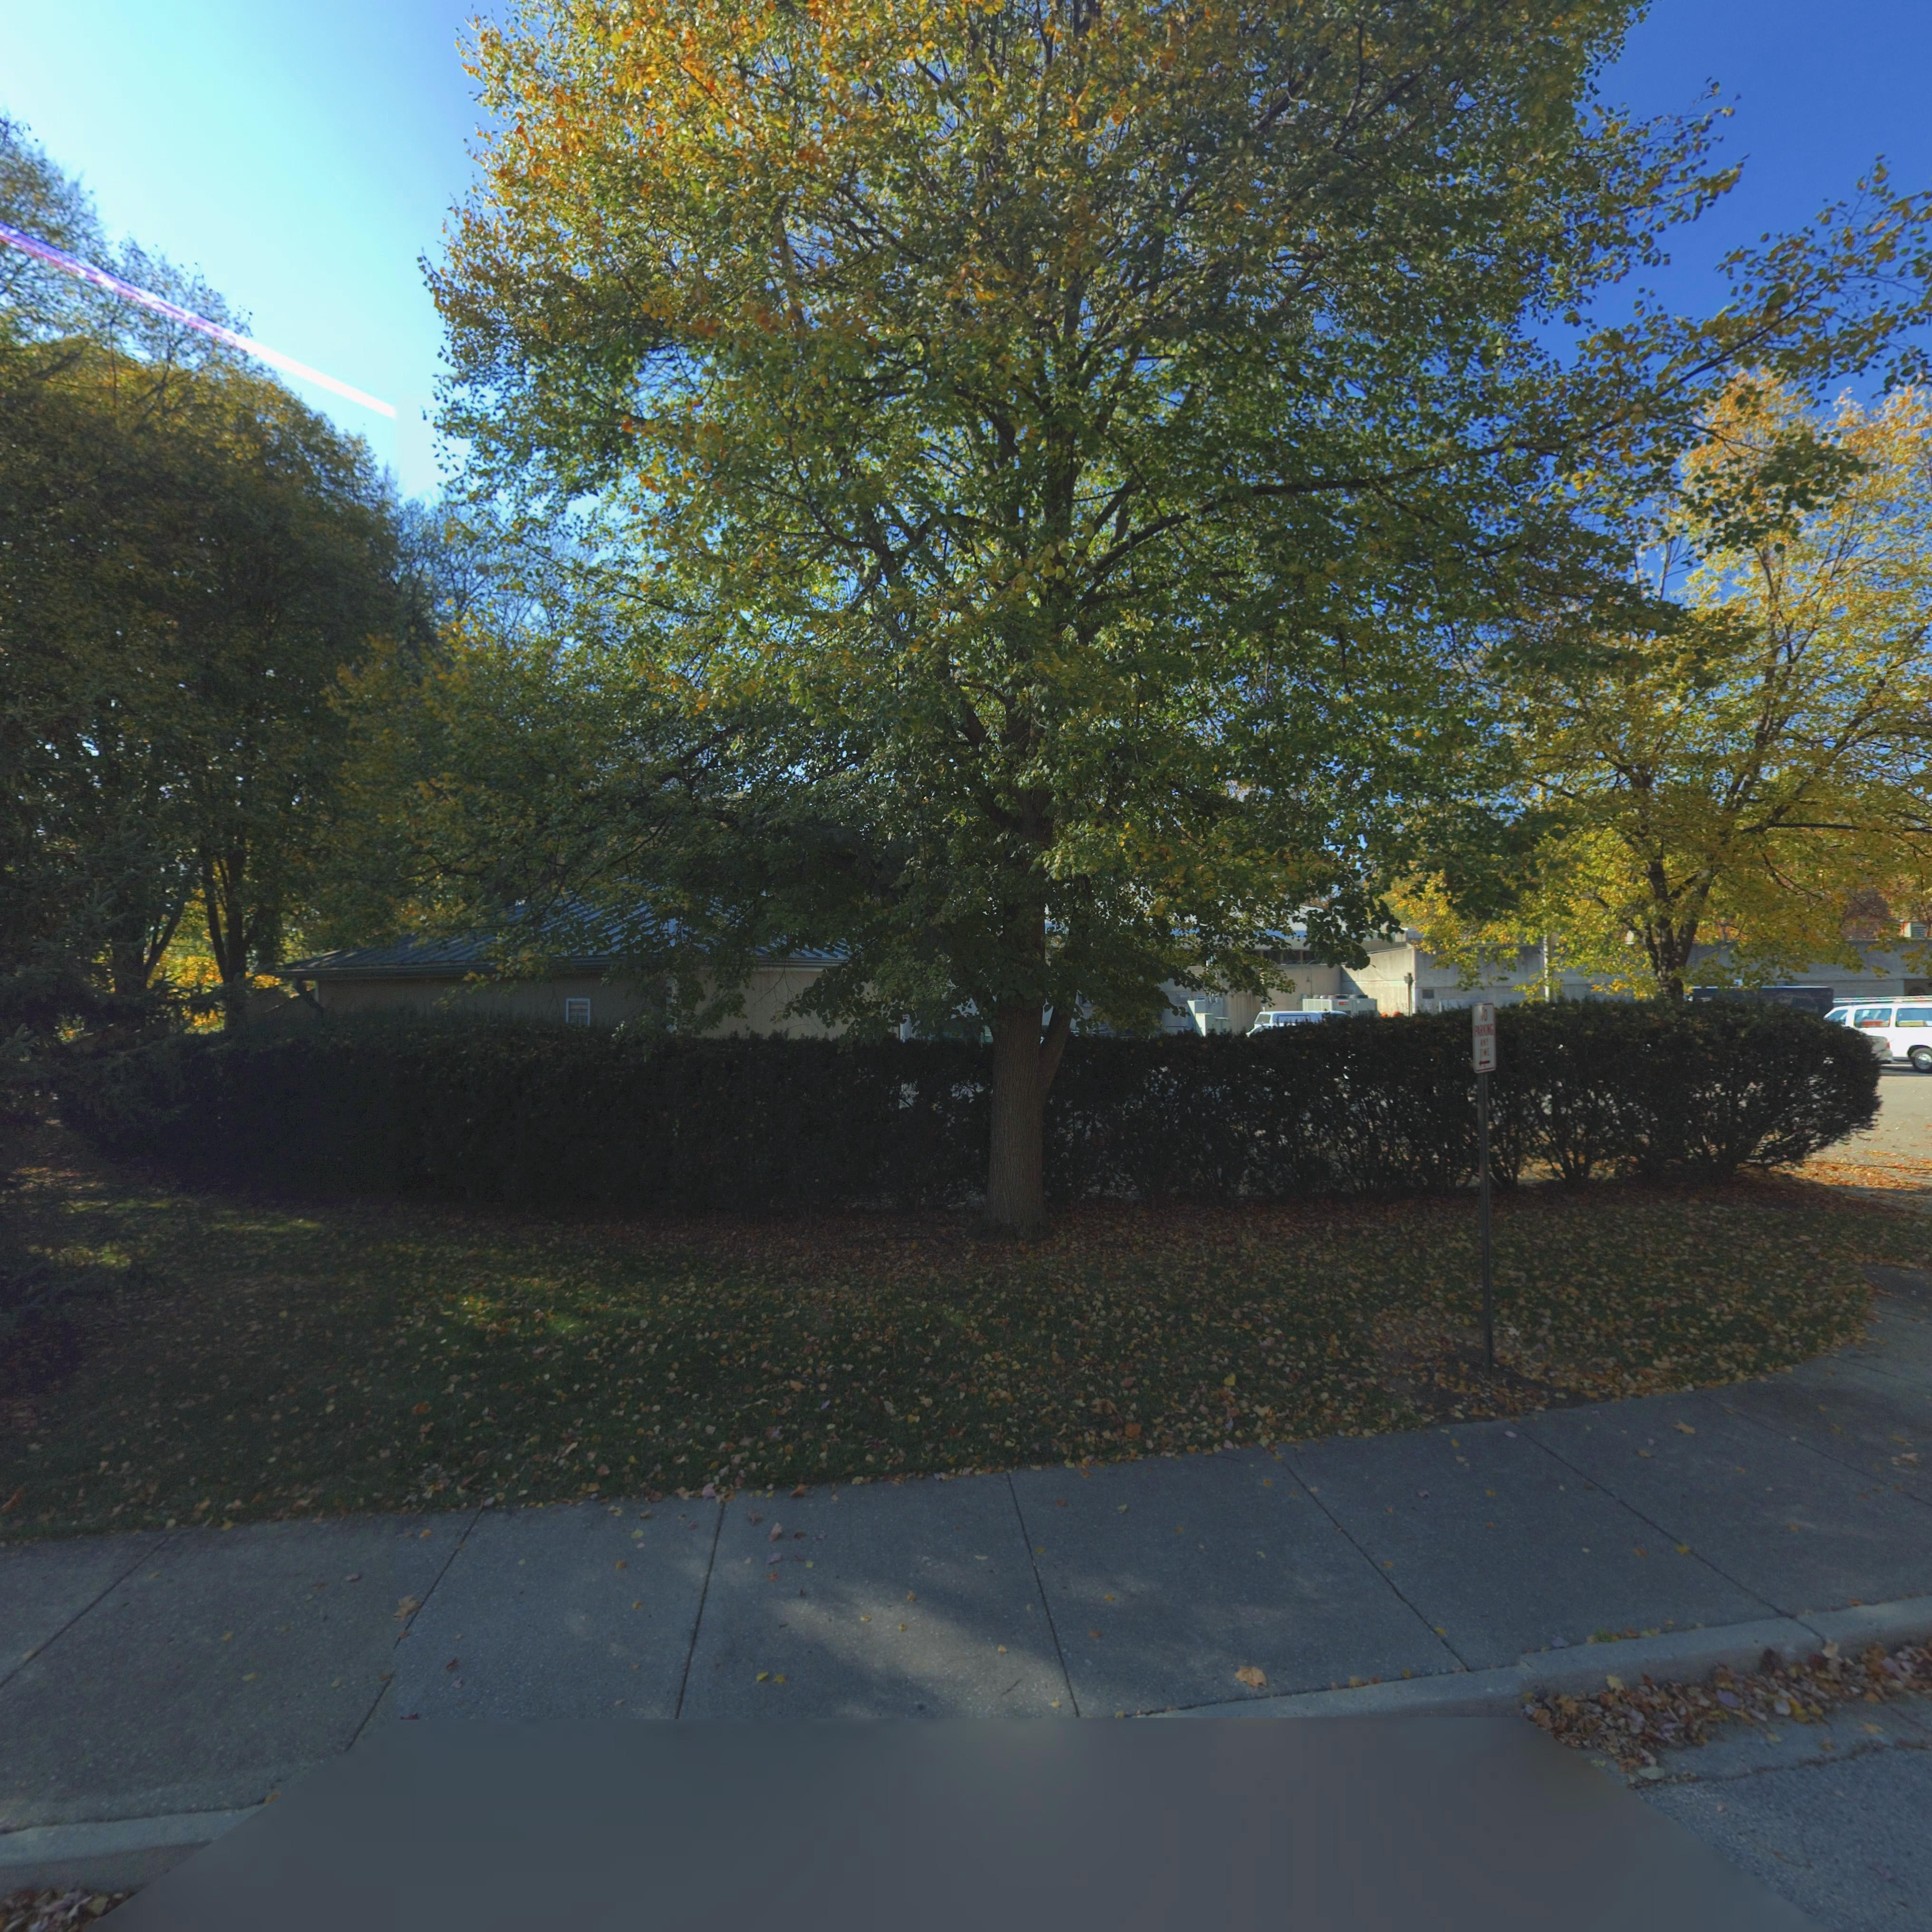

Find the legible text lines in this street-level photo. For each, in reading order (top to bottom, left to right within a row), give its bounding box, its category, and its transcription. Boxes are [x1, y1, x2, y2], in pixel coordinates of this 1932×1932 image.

[1478, 1009, 1488, 1022] None: NO
[1473, 1023, 1494, 1038] None: PARKING
[1479, 1037, 1489, 1048] None: ANY
[1478, 1047, 1490, 1058] None: TIME